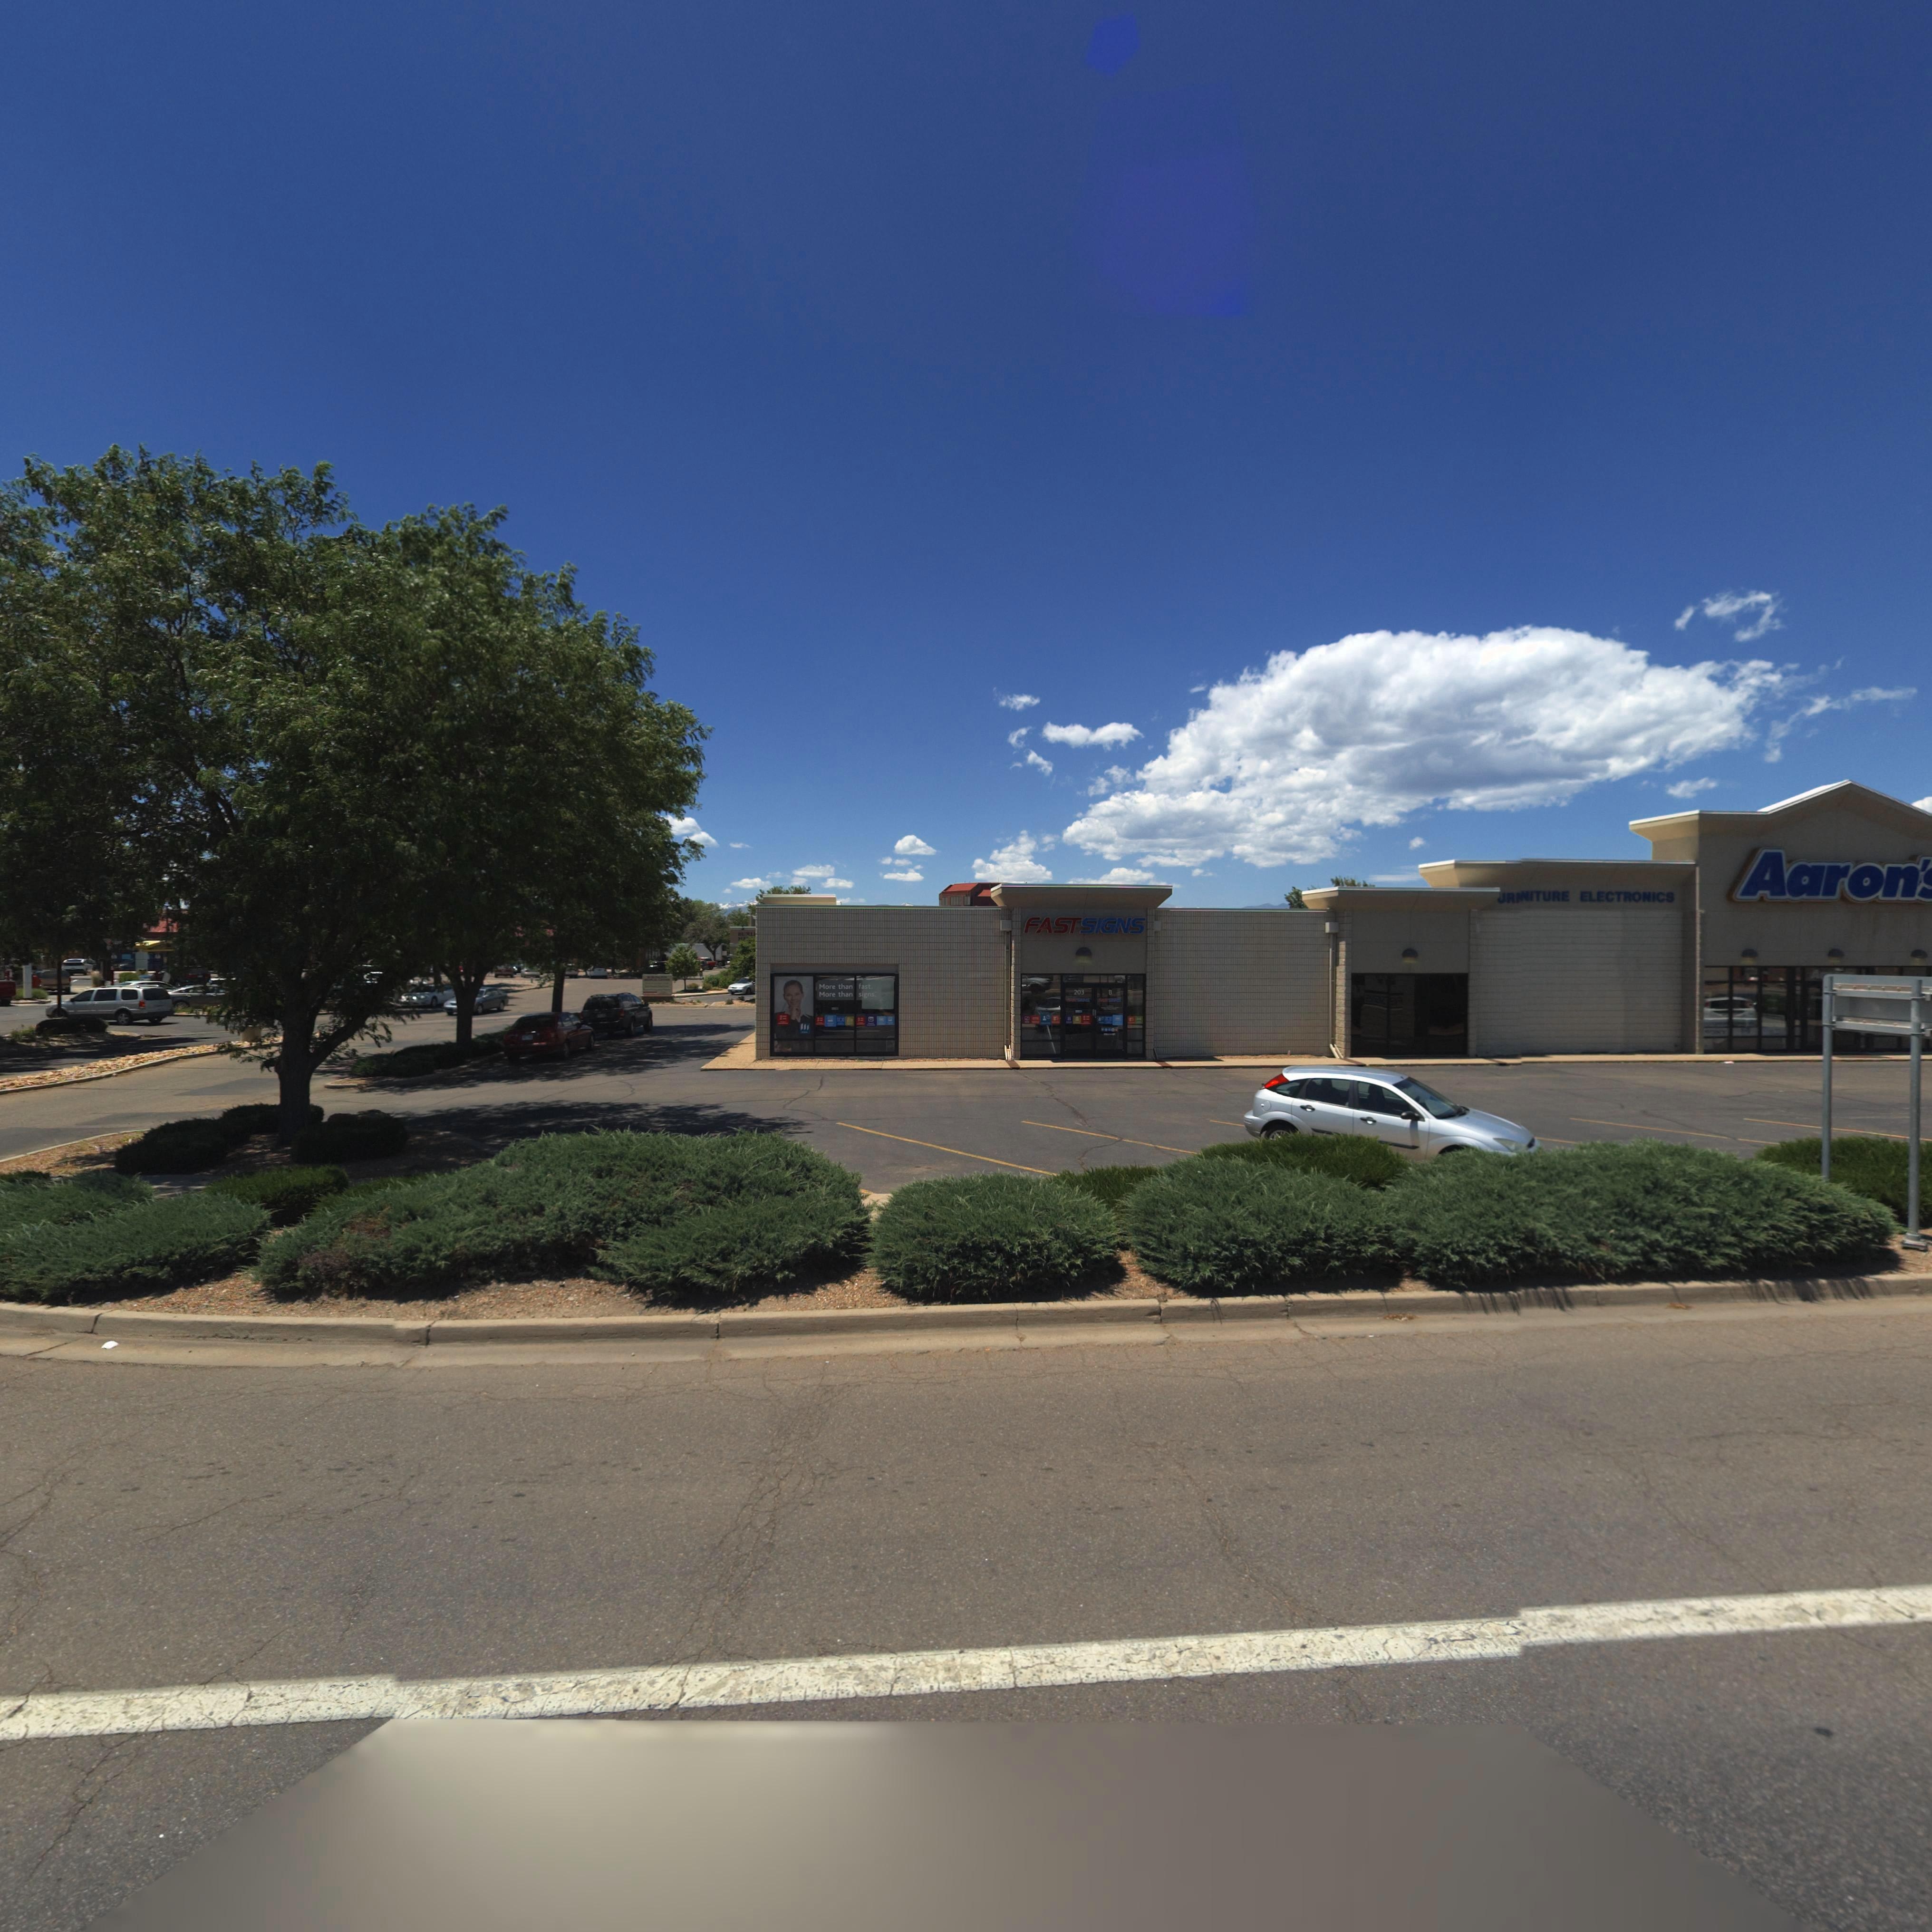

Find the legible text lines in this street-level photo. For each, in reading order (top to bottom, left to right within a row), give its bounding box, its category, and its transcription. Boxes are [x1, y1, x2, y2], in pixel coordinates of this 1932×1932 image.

[1736, 848, 1931, 901] BusinessName: Aaron'
[1022, 916, 1147, 934] BusinessName: FAST SIGNS
[1073, 989, 1084, 995] StreetNumber: 203
[1108, 989, 1112, 995] StreetNumber: B
[1066, 997, 1090, 1002] BusinessName: FAST**NS
[1097, 998, 1121, 1002] BusinessName: *A** *****